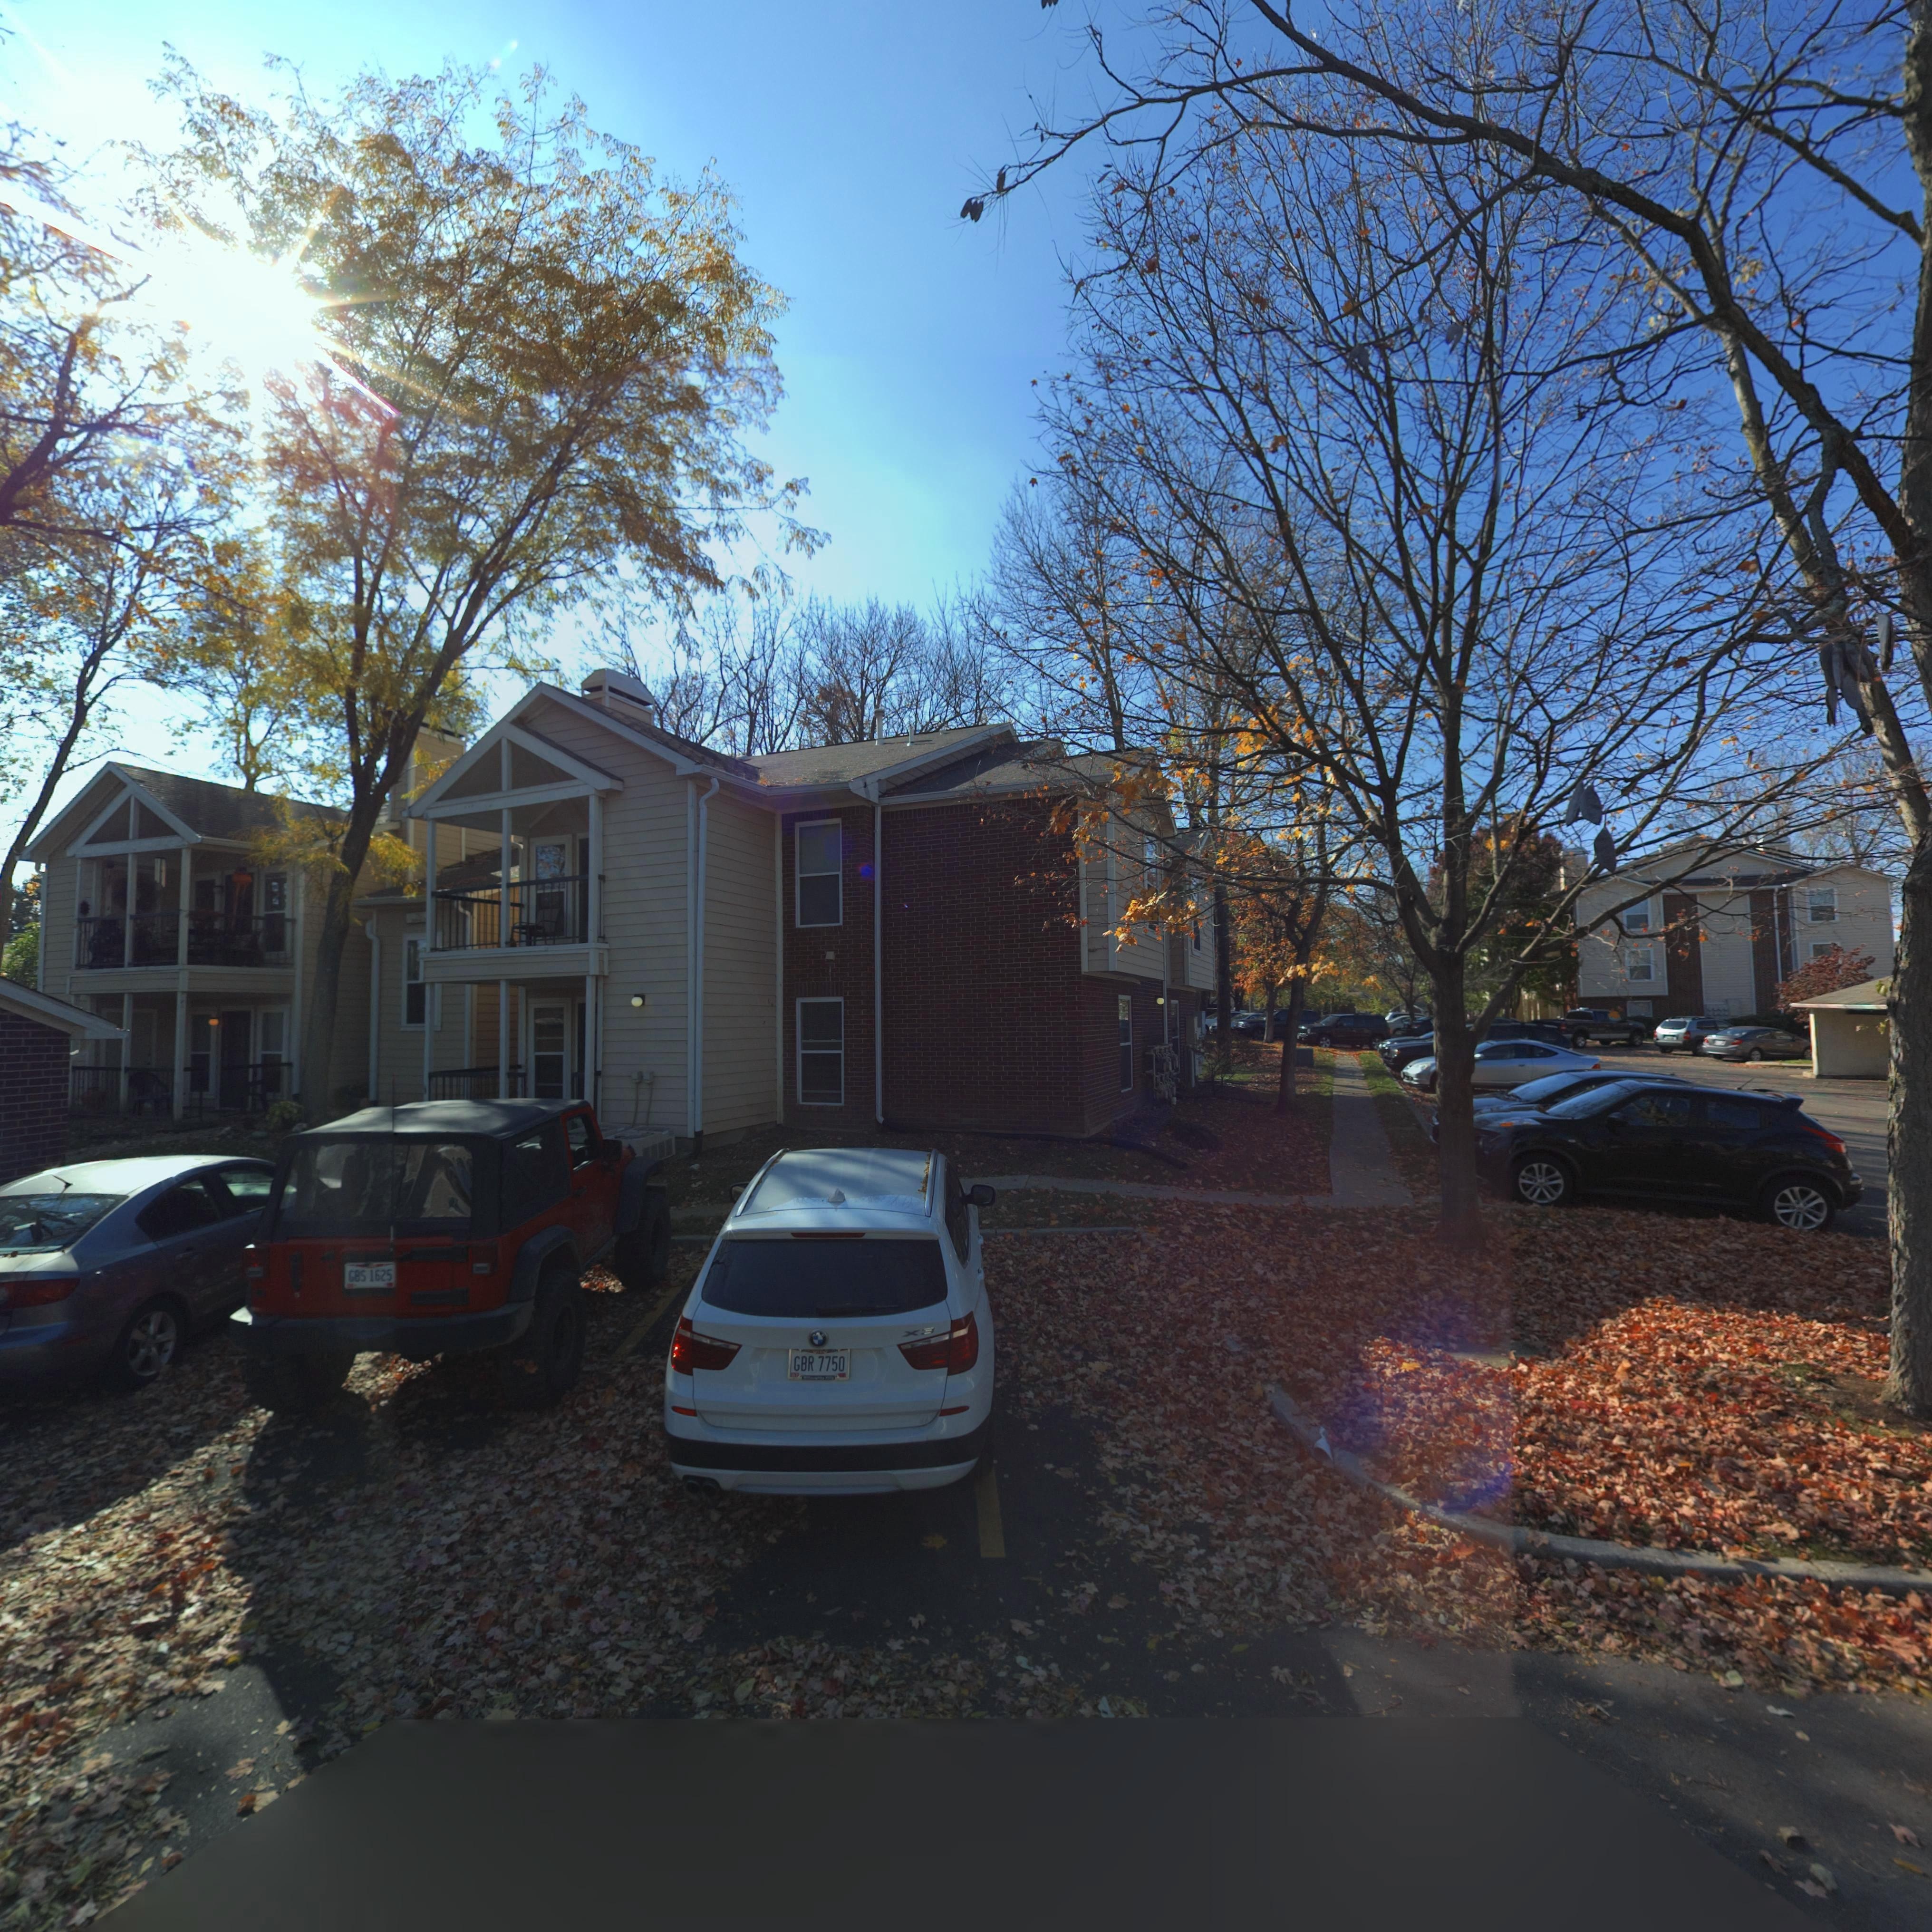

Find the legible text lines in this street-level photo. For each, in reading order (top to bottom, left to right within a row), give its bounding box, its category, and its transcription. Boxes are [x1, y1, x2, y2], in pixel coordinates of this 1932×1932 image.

[347, 1267, 394, 1284] None: GBS 1625
[902, 1326, 936, 1339] None: X3
[793, 1354, 846, 1372] None: GRB 7750